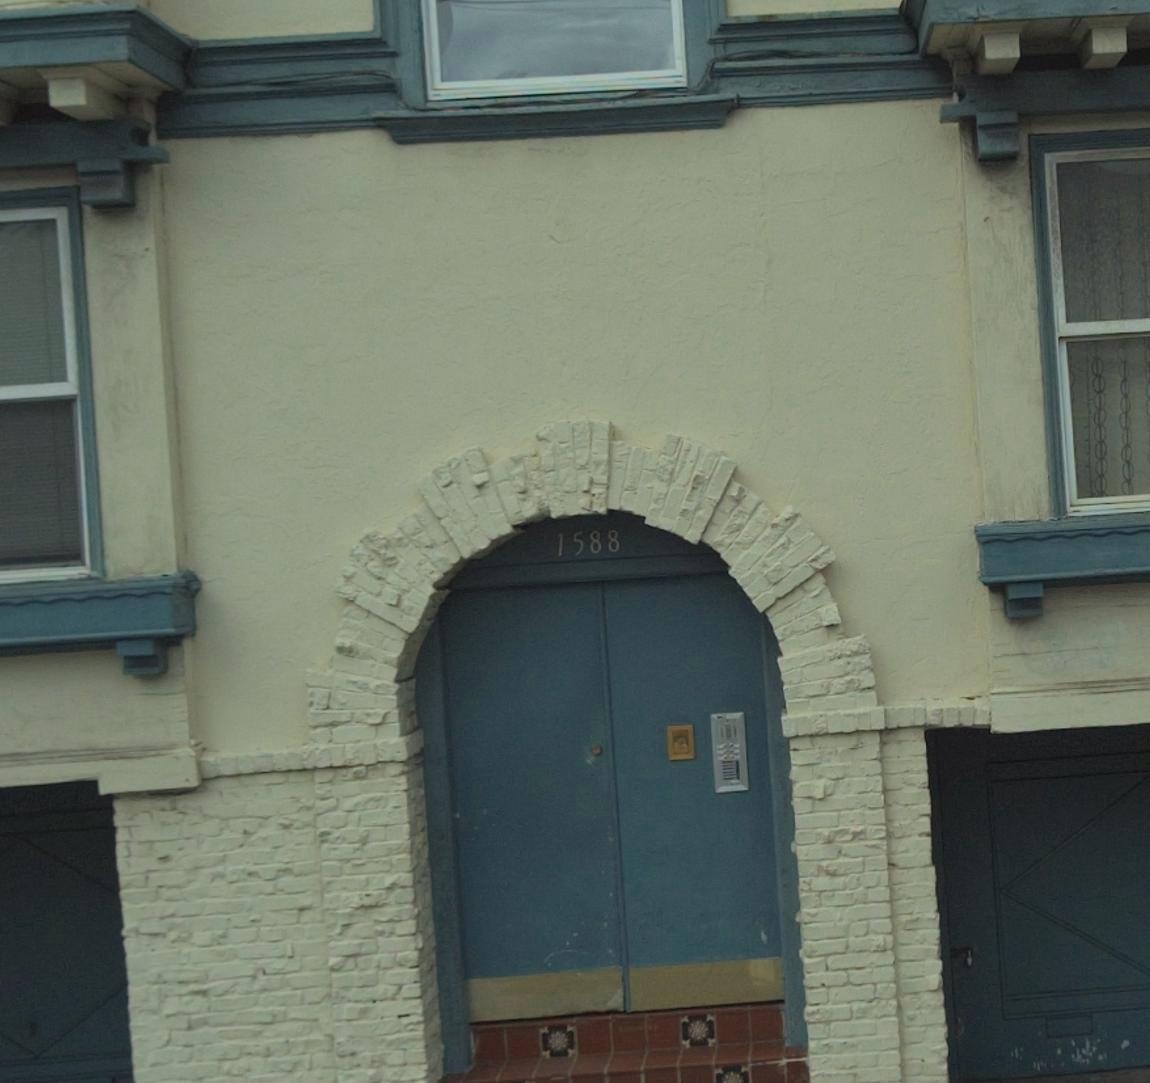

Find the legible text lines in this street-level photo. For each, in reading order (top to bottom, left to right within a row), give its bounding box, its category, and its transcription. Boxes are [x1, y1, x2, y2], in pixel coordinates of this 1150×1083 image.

[554, 527, 621, 559] StreetNumber: 1588